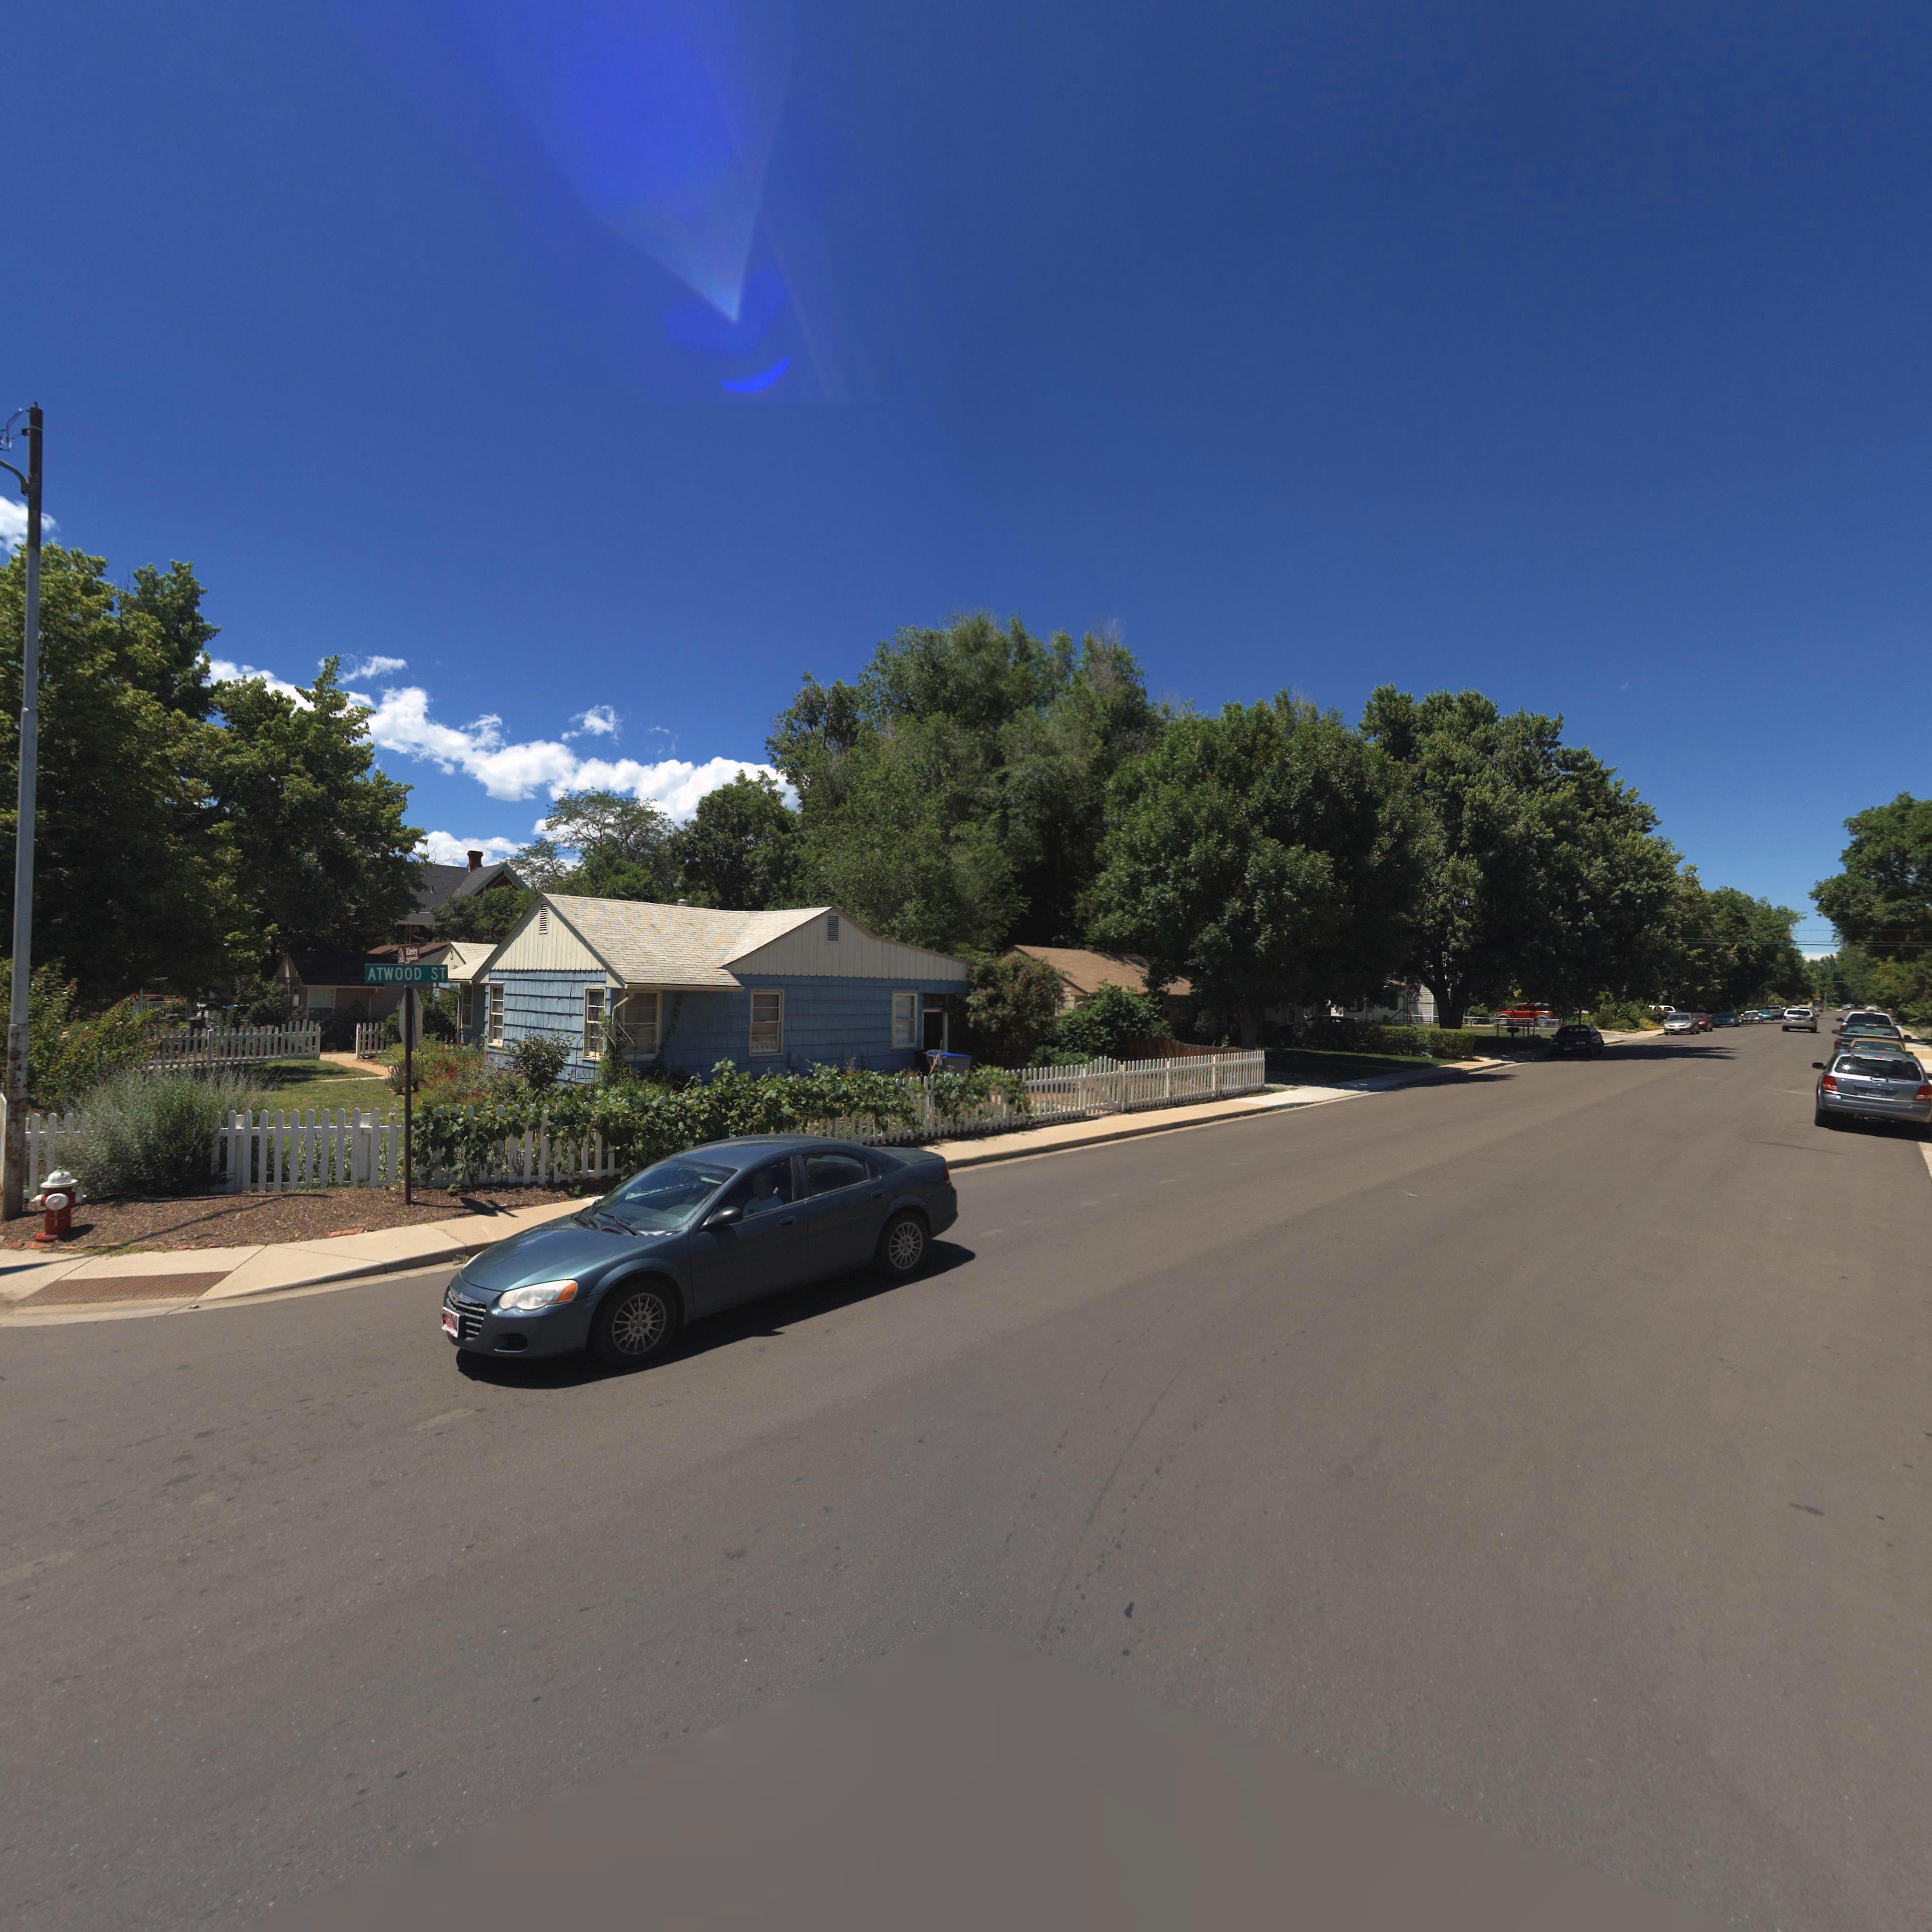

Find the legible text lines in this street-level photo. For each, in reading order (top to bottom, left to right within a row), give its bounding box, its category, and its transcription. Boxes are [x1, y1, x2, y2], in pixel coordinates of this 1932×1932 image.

[367, 967, 446, 980] StreetName: ATWOOD ST